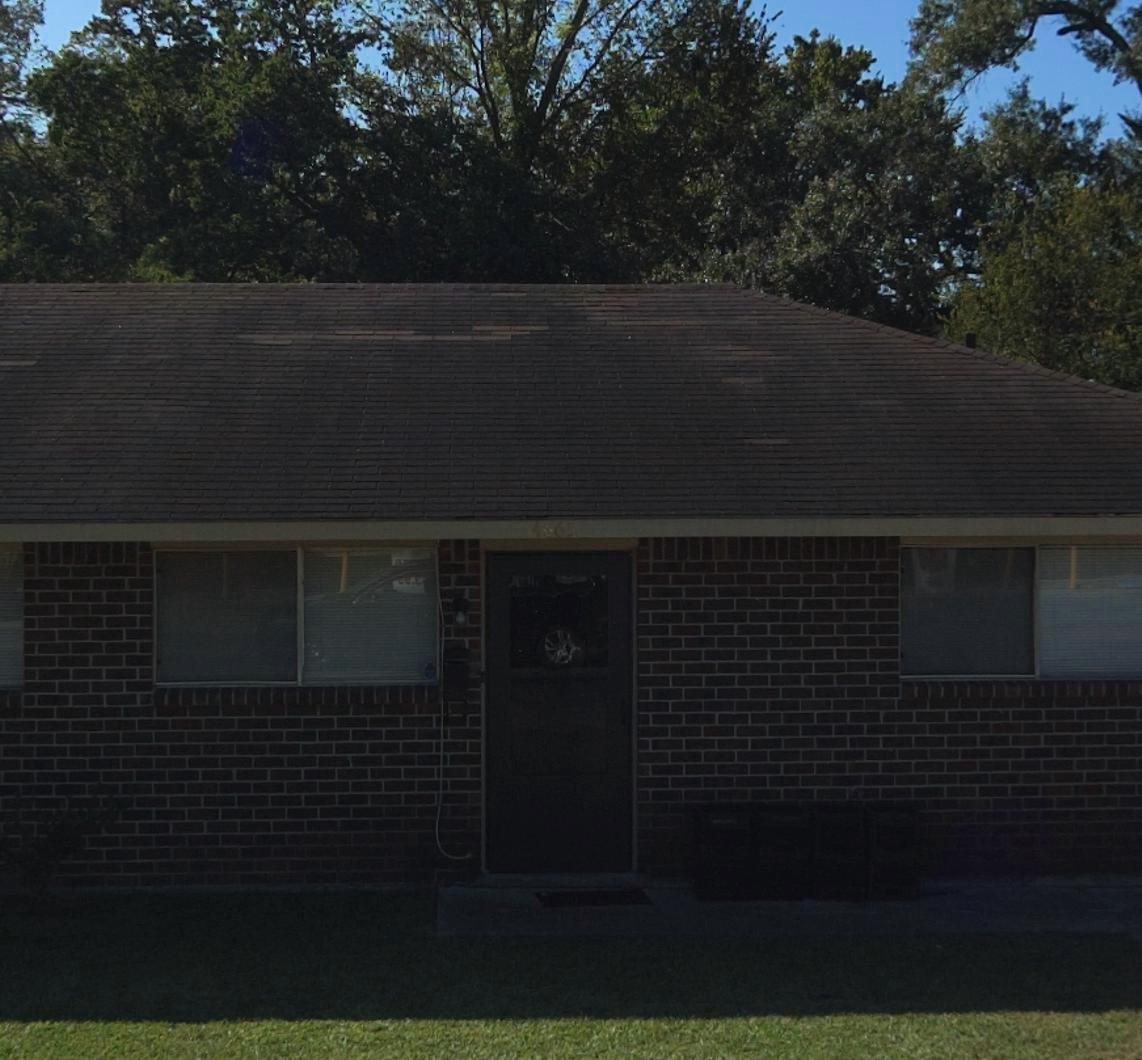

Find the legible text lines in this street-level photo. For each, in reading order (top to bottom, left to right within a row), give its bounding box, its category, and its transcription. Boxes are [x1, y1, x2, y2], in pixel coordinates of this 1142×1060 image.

[531, 520, 577, 538] StreetNumber: 4865